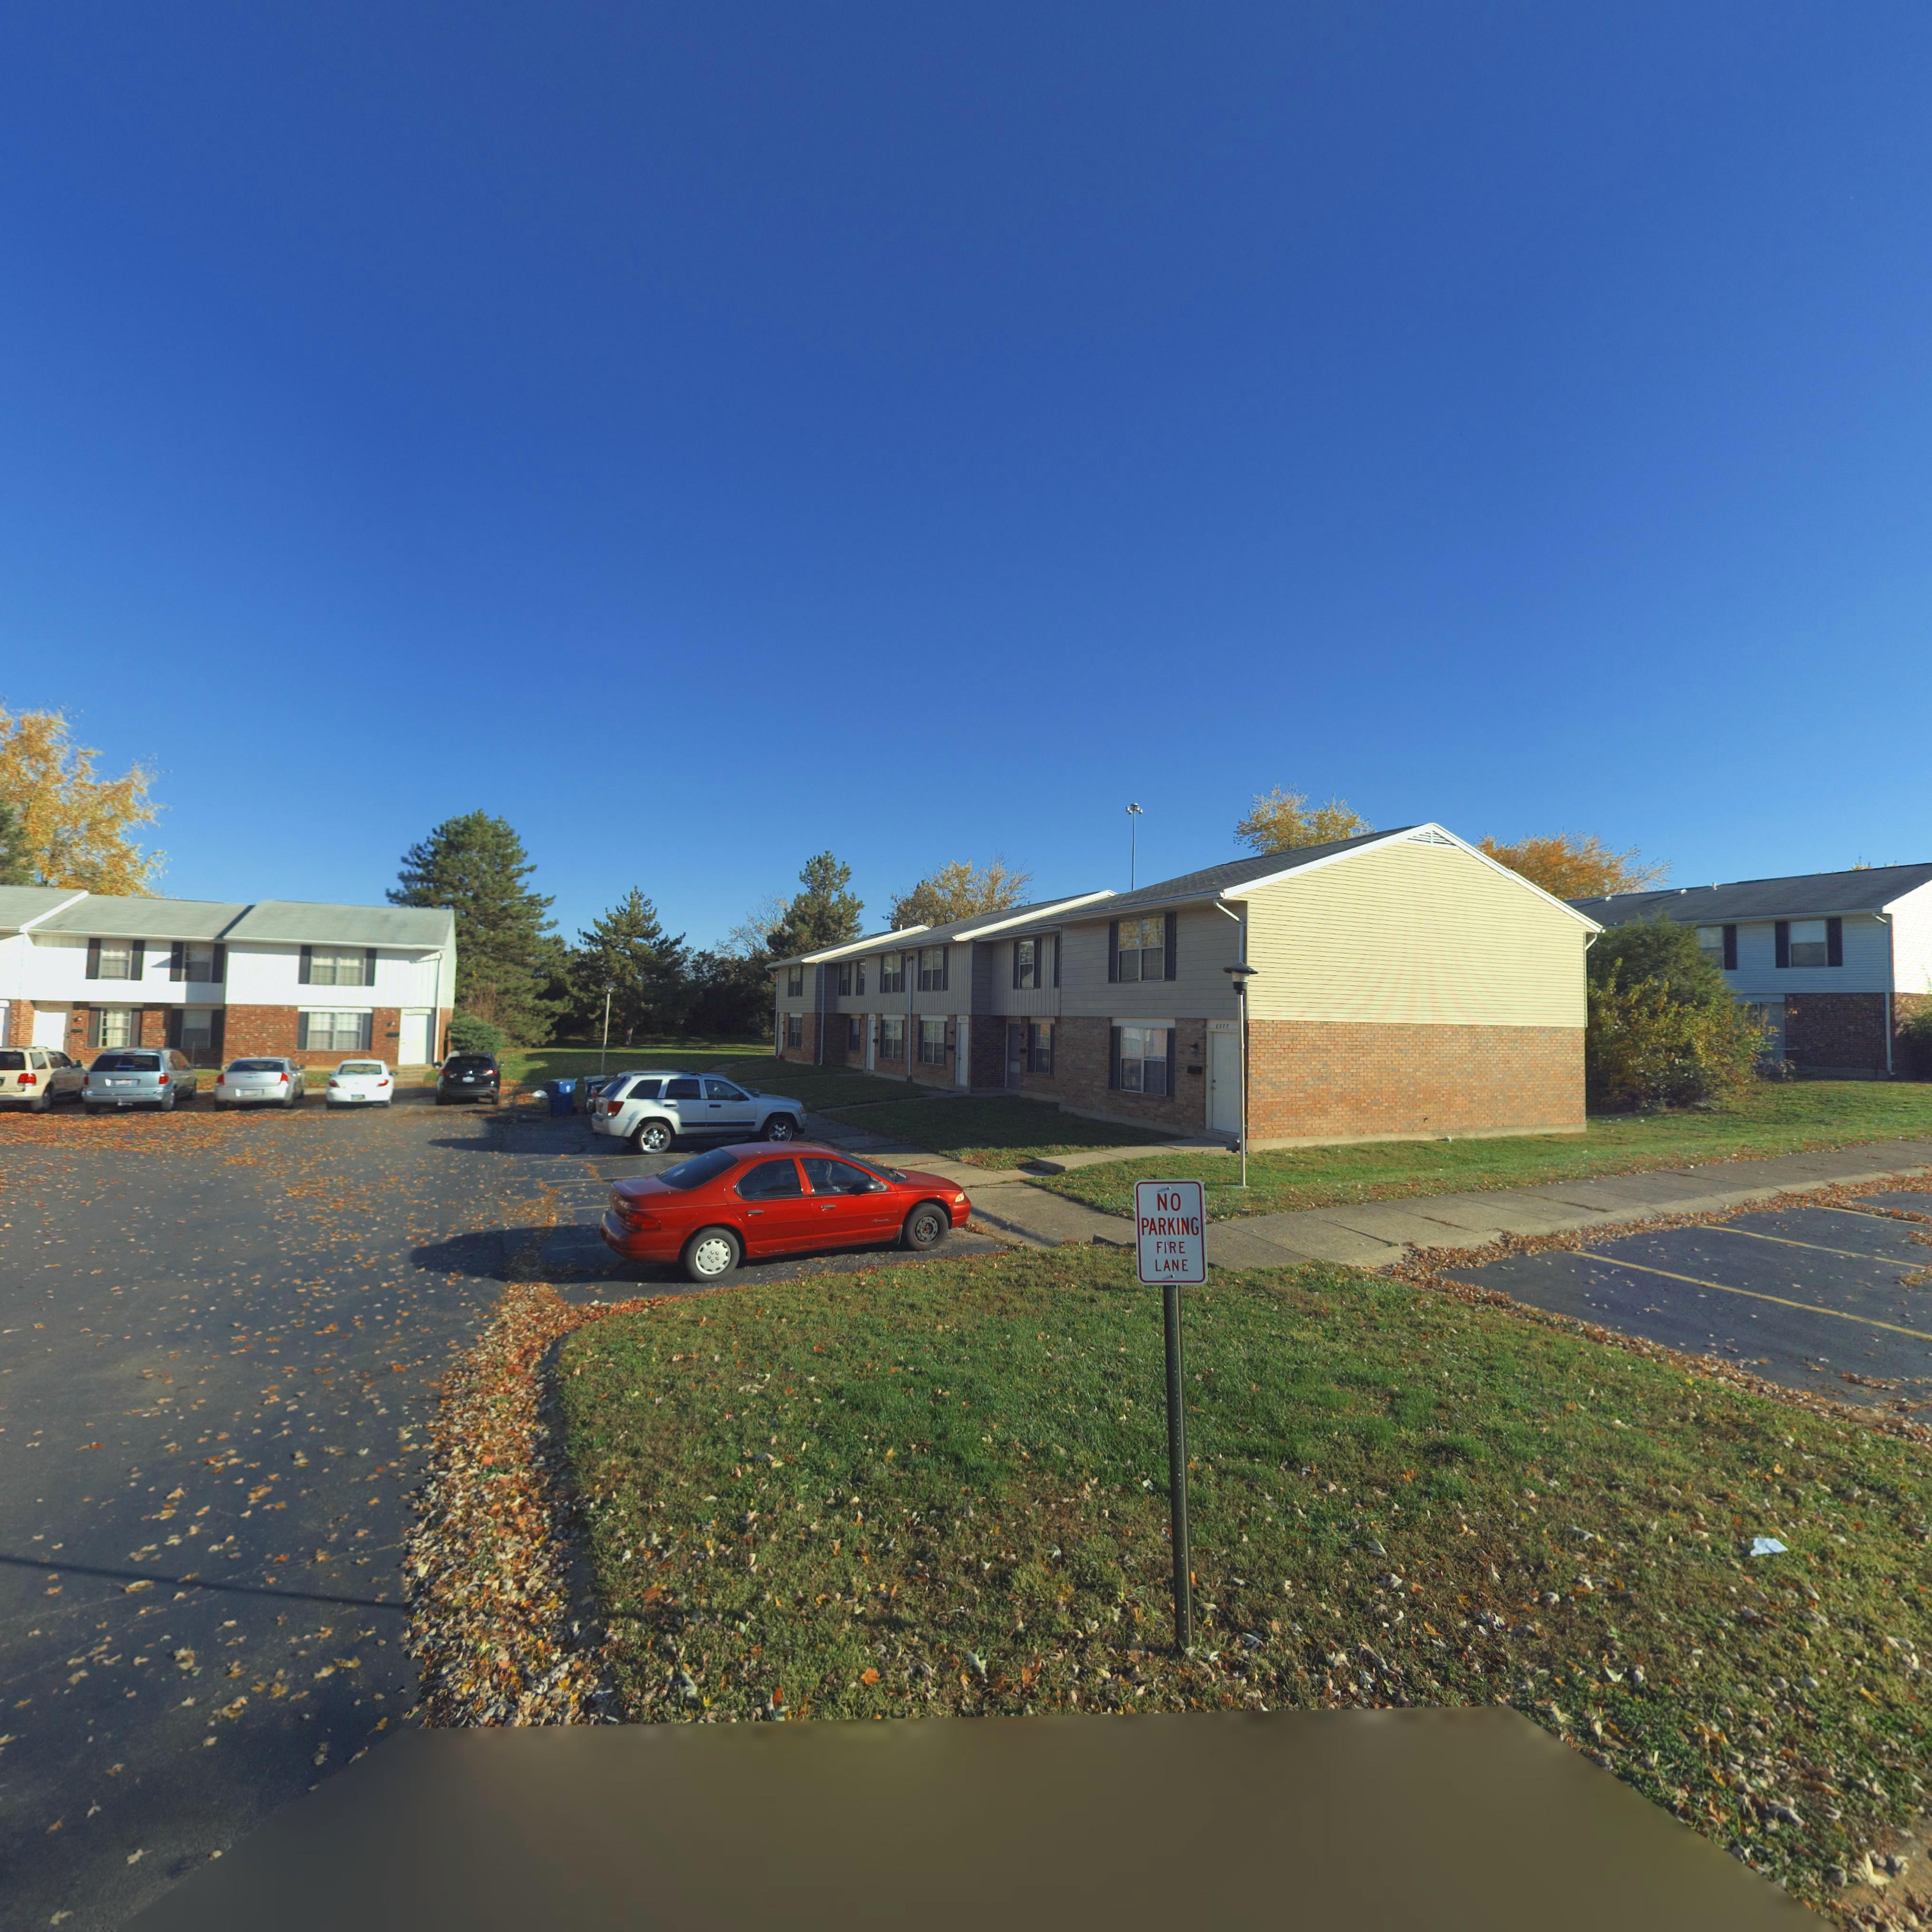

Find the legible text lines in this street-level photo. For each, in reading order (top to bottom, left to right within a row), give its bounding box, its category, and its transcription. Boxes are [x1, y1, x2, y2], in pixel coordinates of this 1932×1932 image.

[1215, 1023, 1229, 1029] StreetNumber: 8277